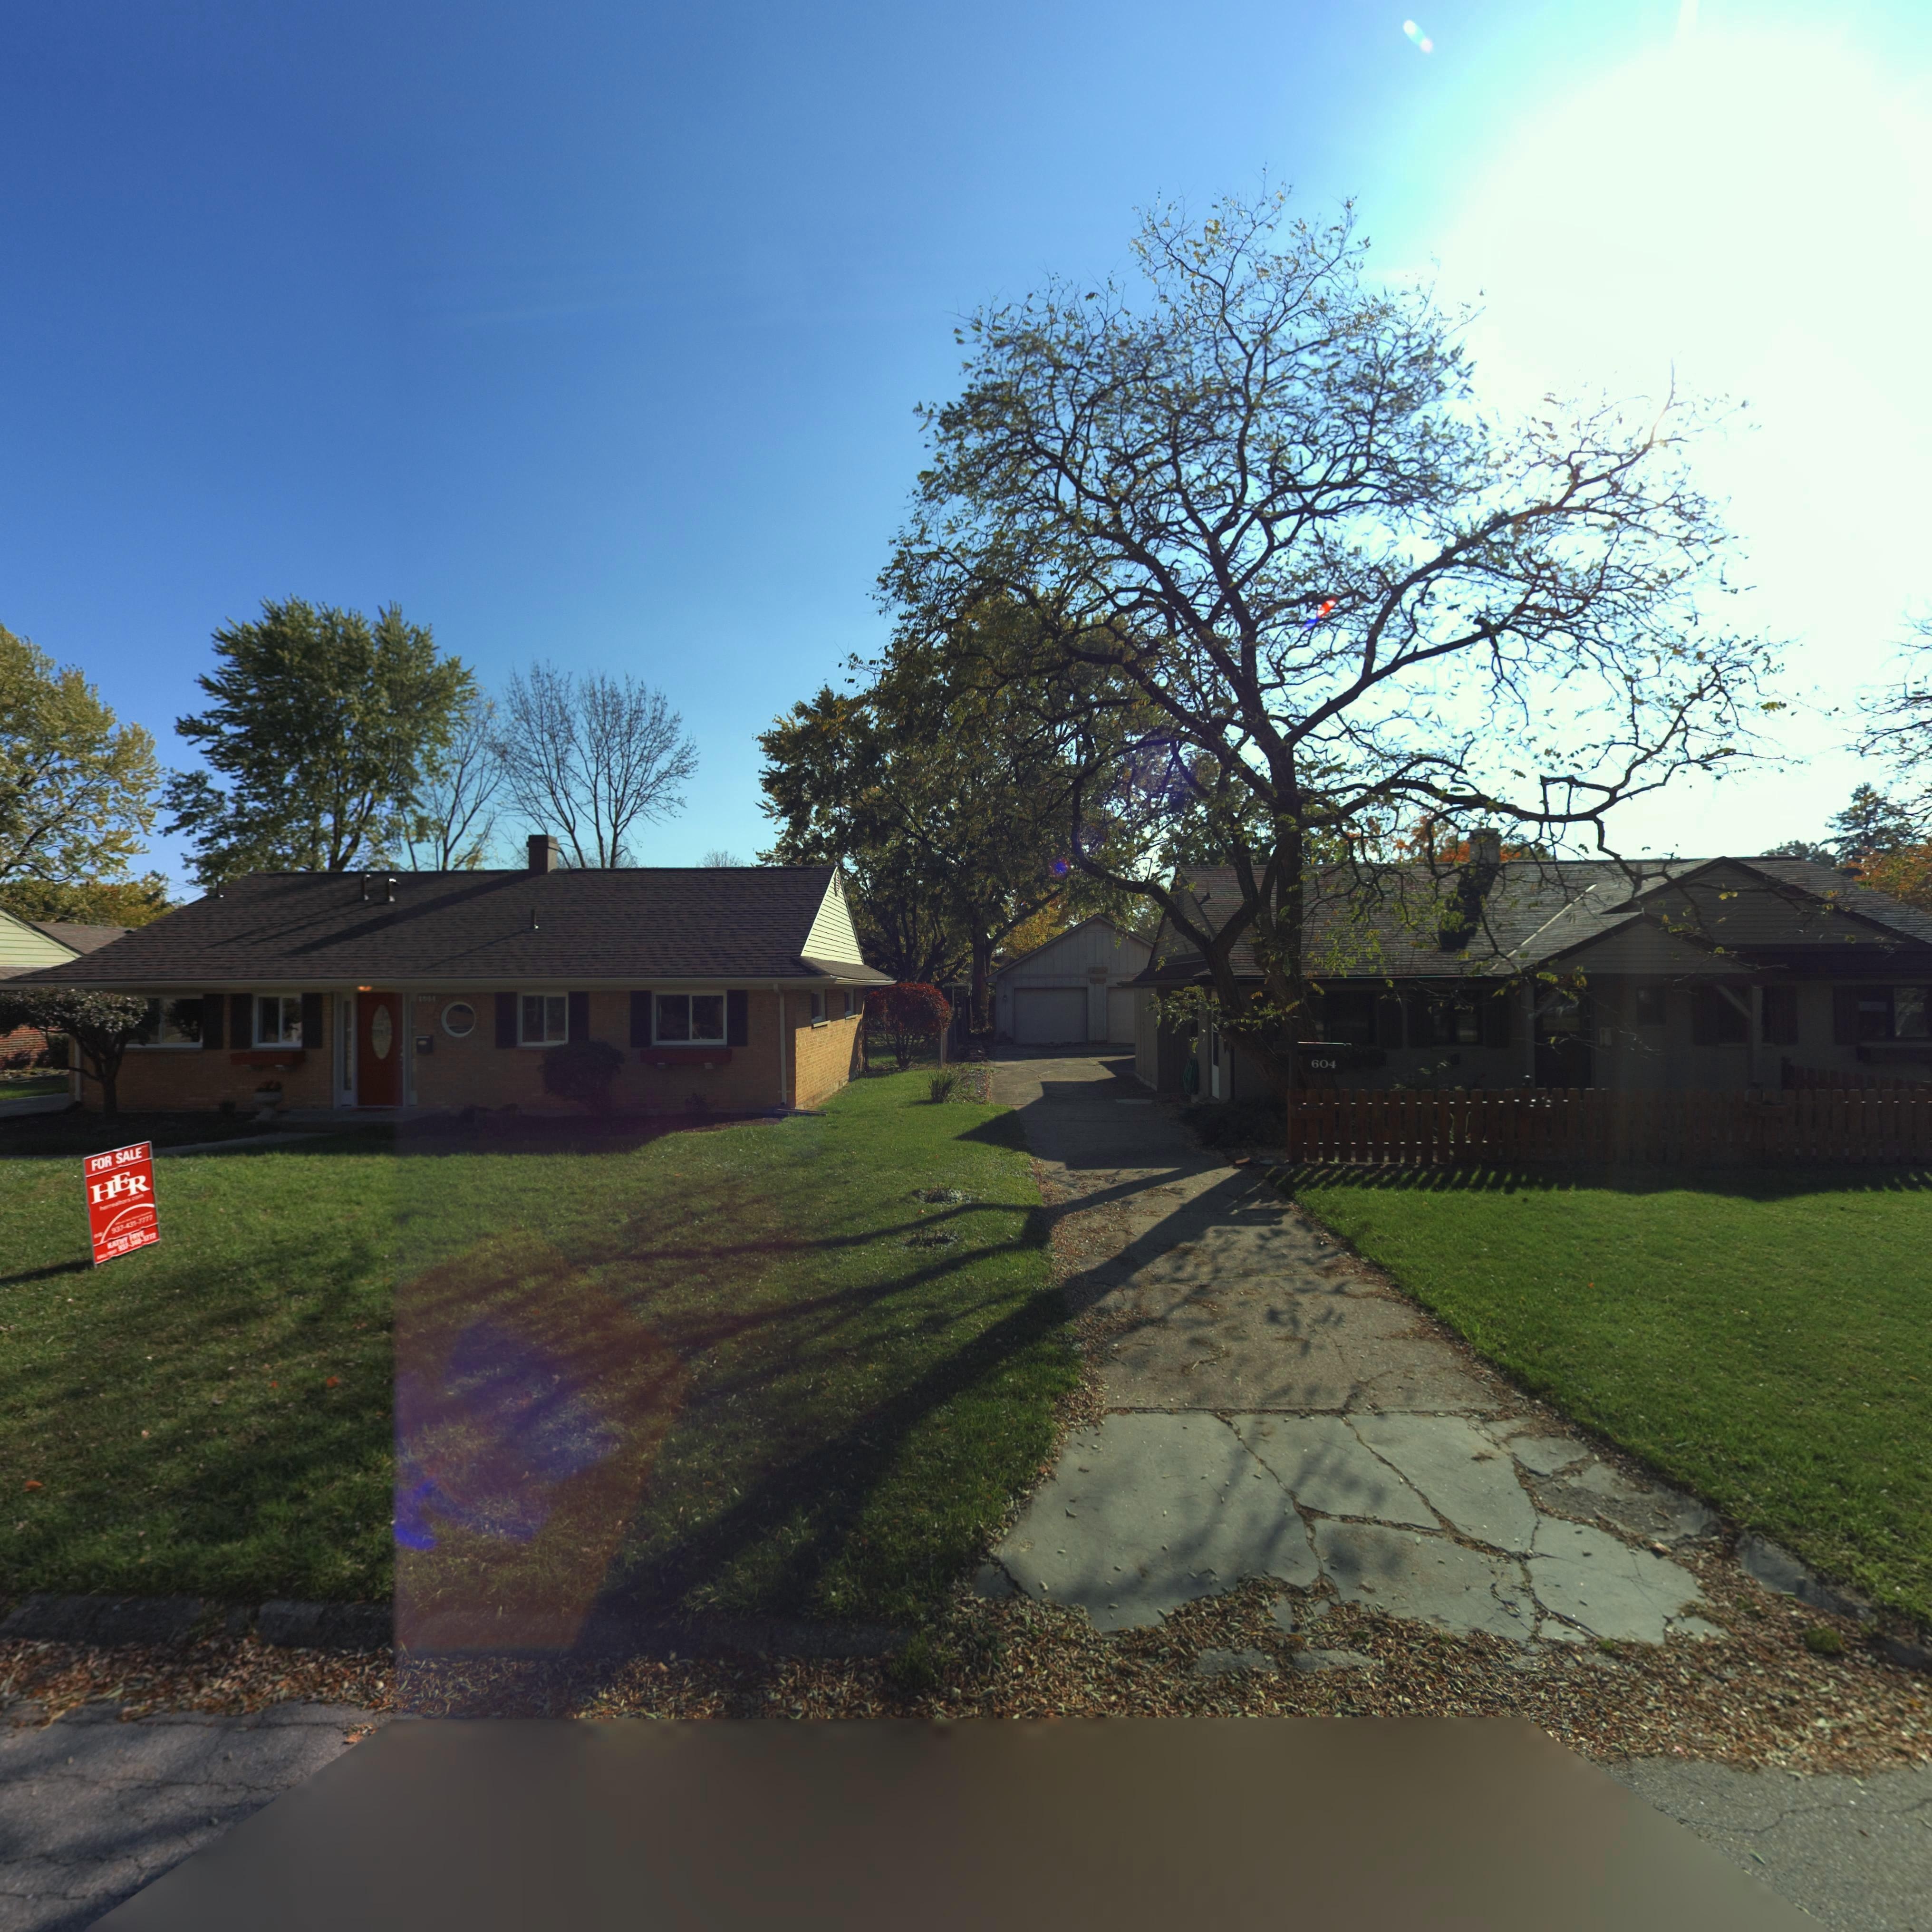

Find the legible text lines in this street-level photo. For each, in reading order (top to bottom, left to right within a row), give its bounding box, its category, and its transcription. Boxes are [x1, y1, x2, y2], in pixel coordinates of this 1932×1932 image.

[420, 995, 434, 1002] StreetNumber: 60*
[1310, 1059, 1336, 1069] StreetNumber: 604
[90, 1146, 143, 1172] None: FOR SALE
[88, 1170, 151, 1206] None: HER
[98, 1193, 145, 1212] None: homerealtors.com
[110, 1214, 153, 1236] None: 933-437-7777
[105, 1229, 145, 1250] None: KATHY FRYE
[117, 1231, 157, 1253] None: 337-3**-*772